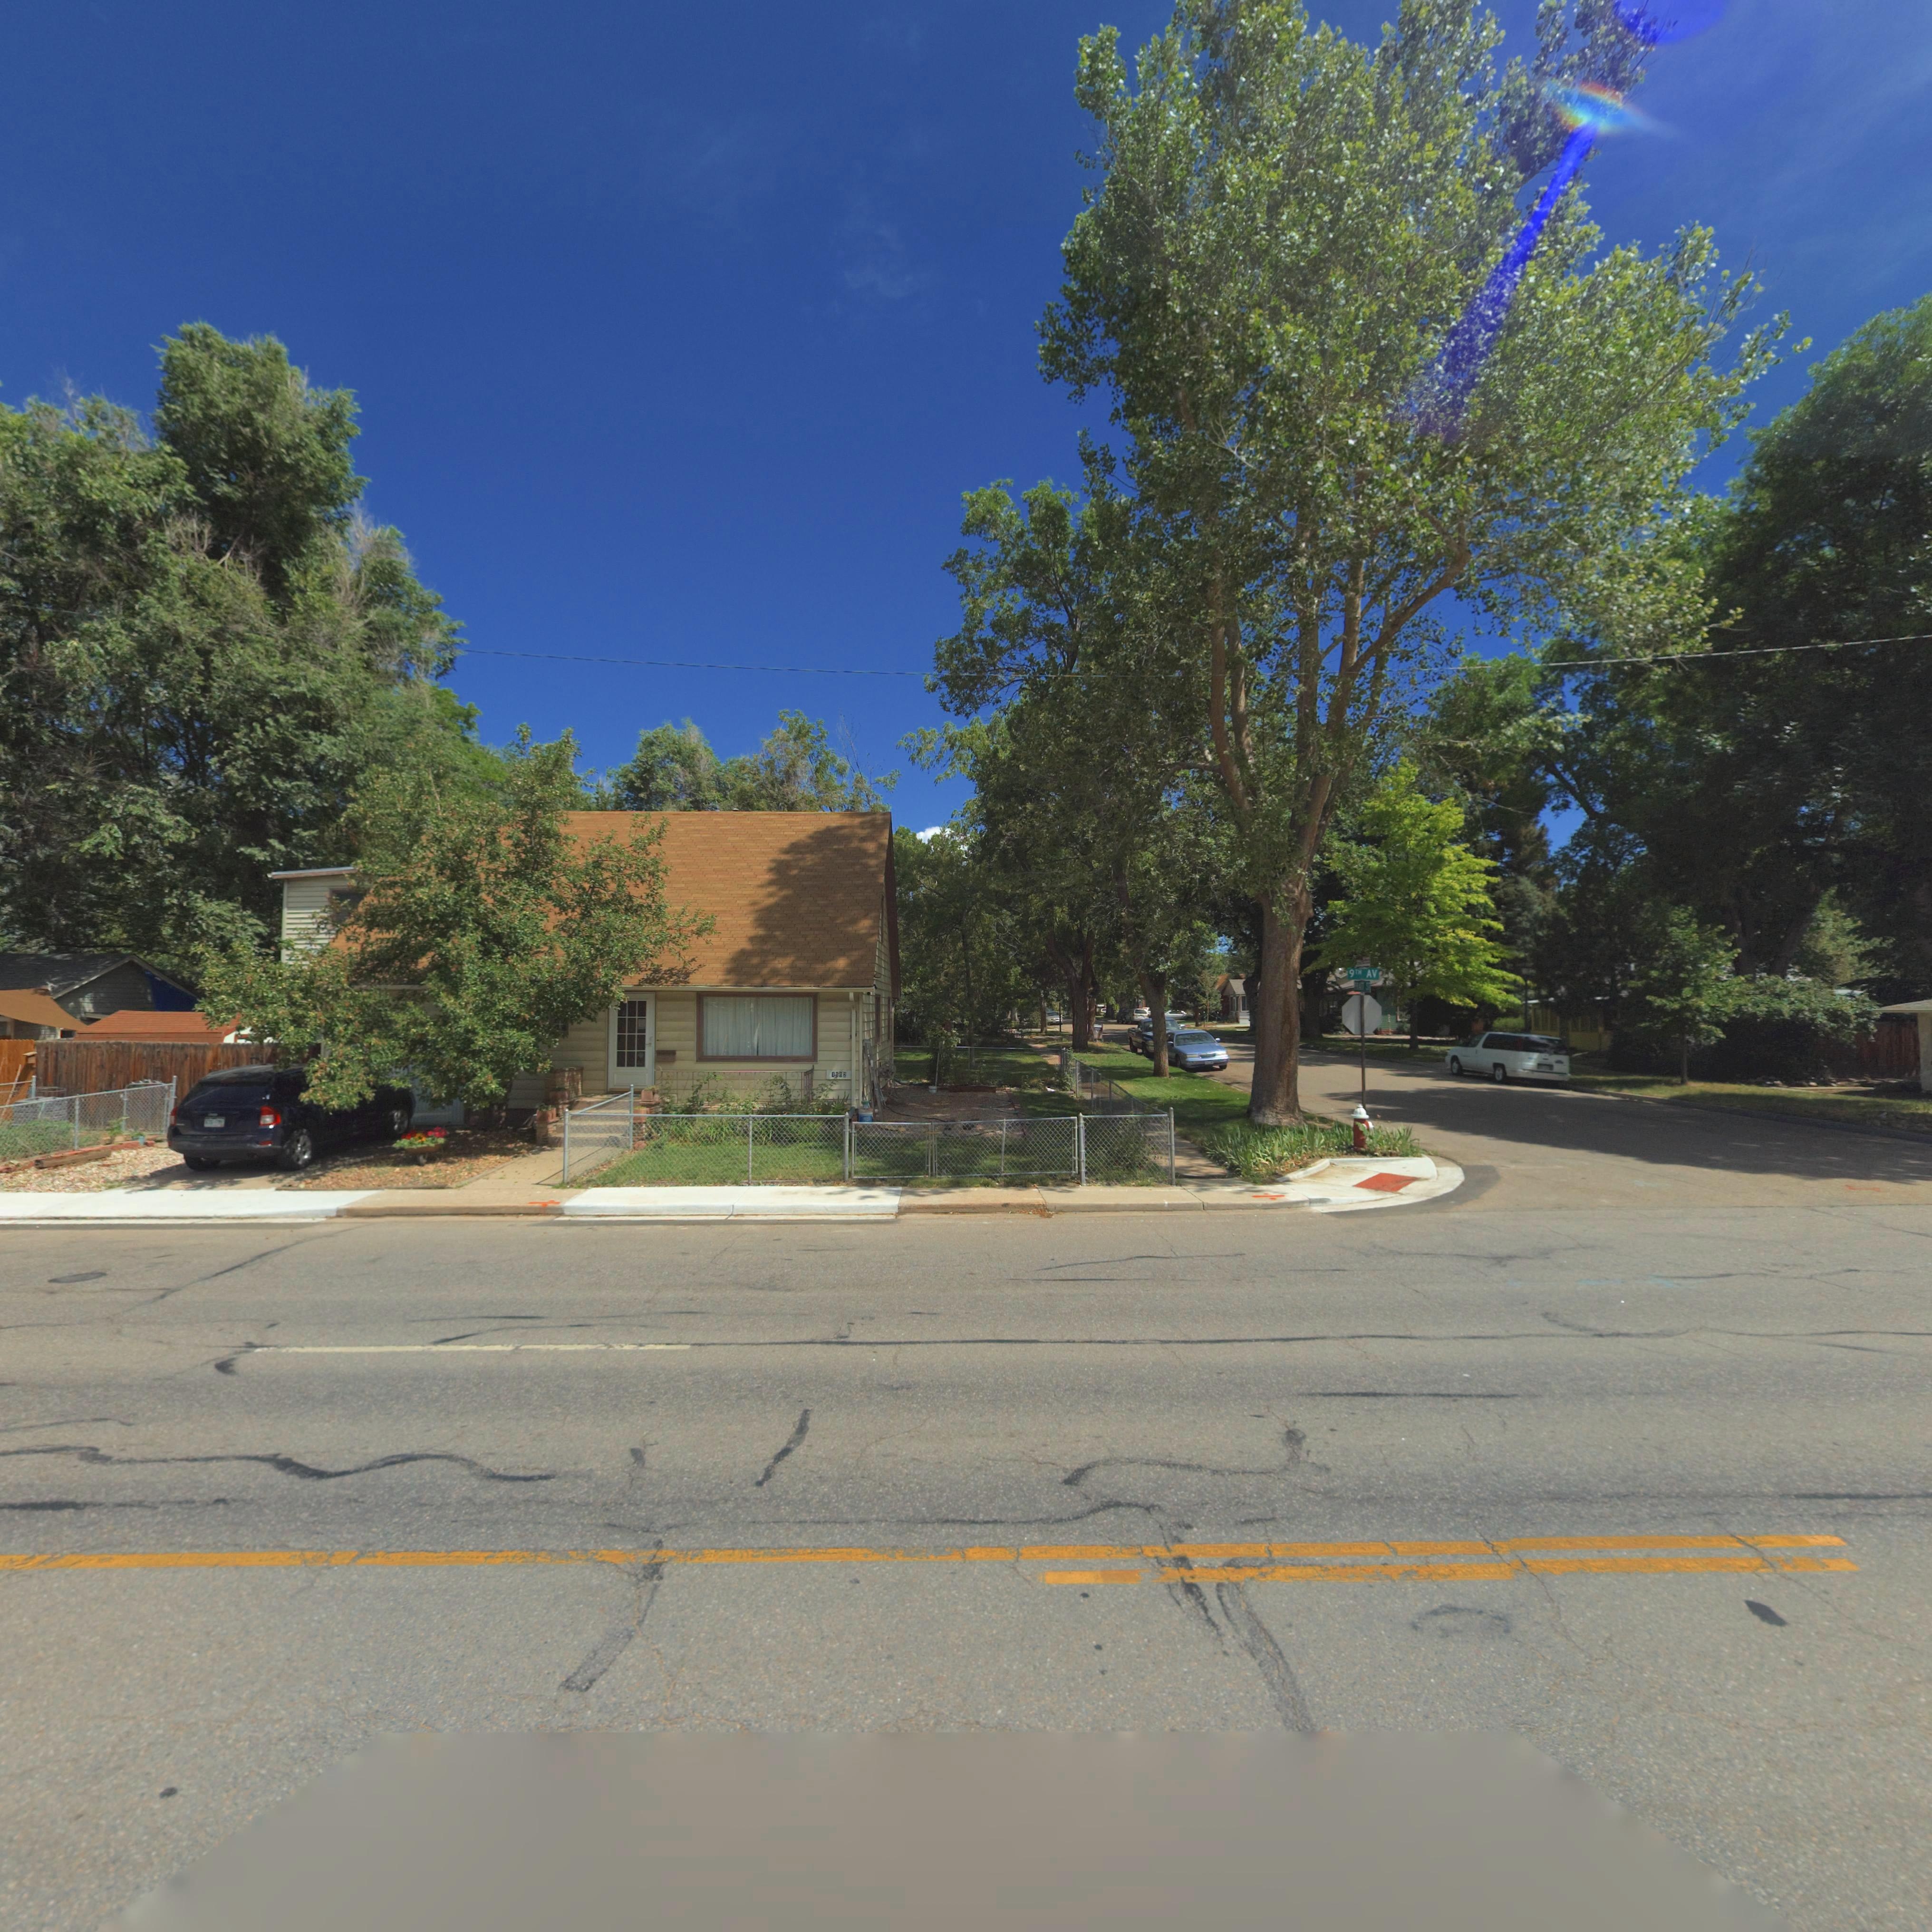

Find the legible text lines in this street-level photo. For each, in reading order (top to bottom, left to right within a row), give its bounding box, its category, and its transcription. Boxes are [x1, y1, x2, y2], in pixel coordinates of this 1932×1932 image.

[1348, 969, 1378, 978] StreetName: 9TH AV
[1353, 982, 1371, 991] StreetName: *RA*T ST
[831, 1072, 846, 1077] StreetNumber: *202